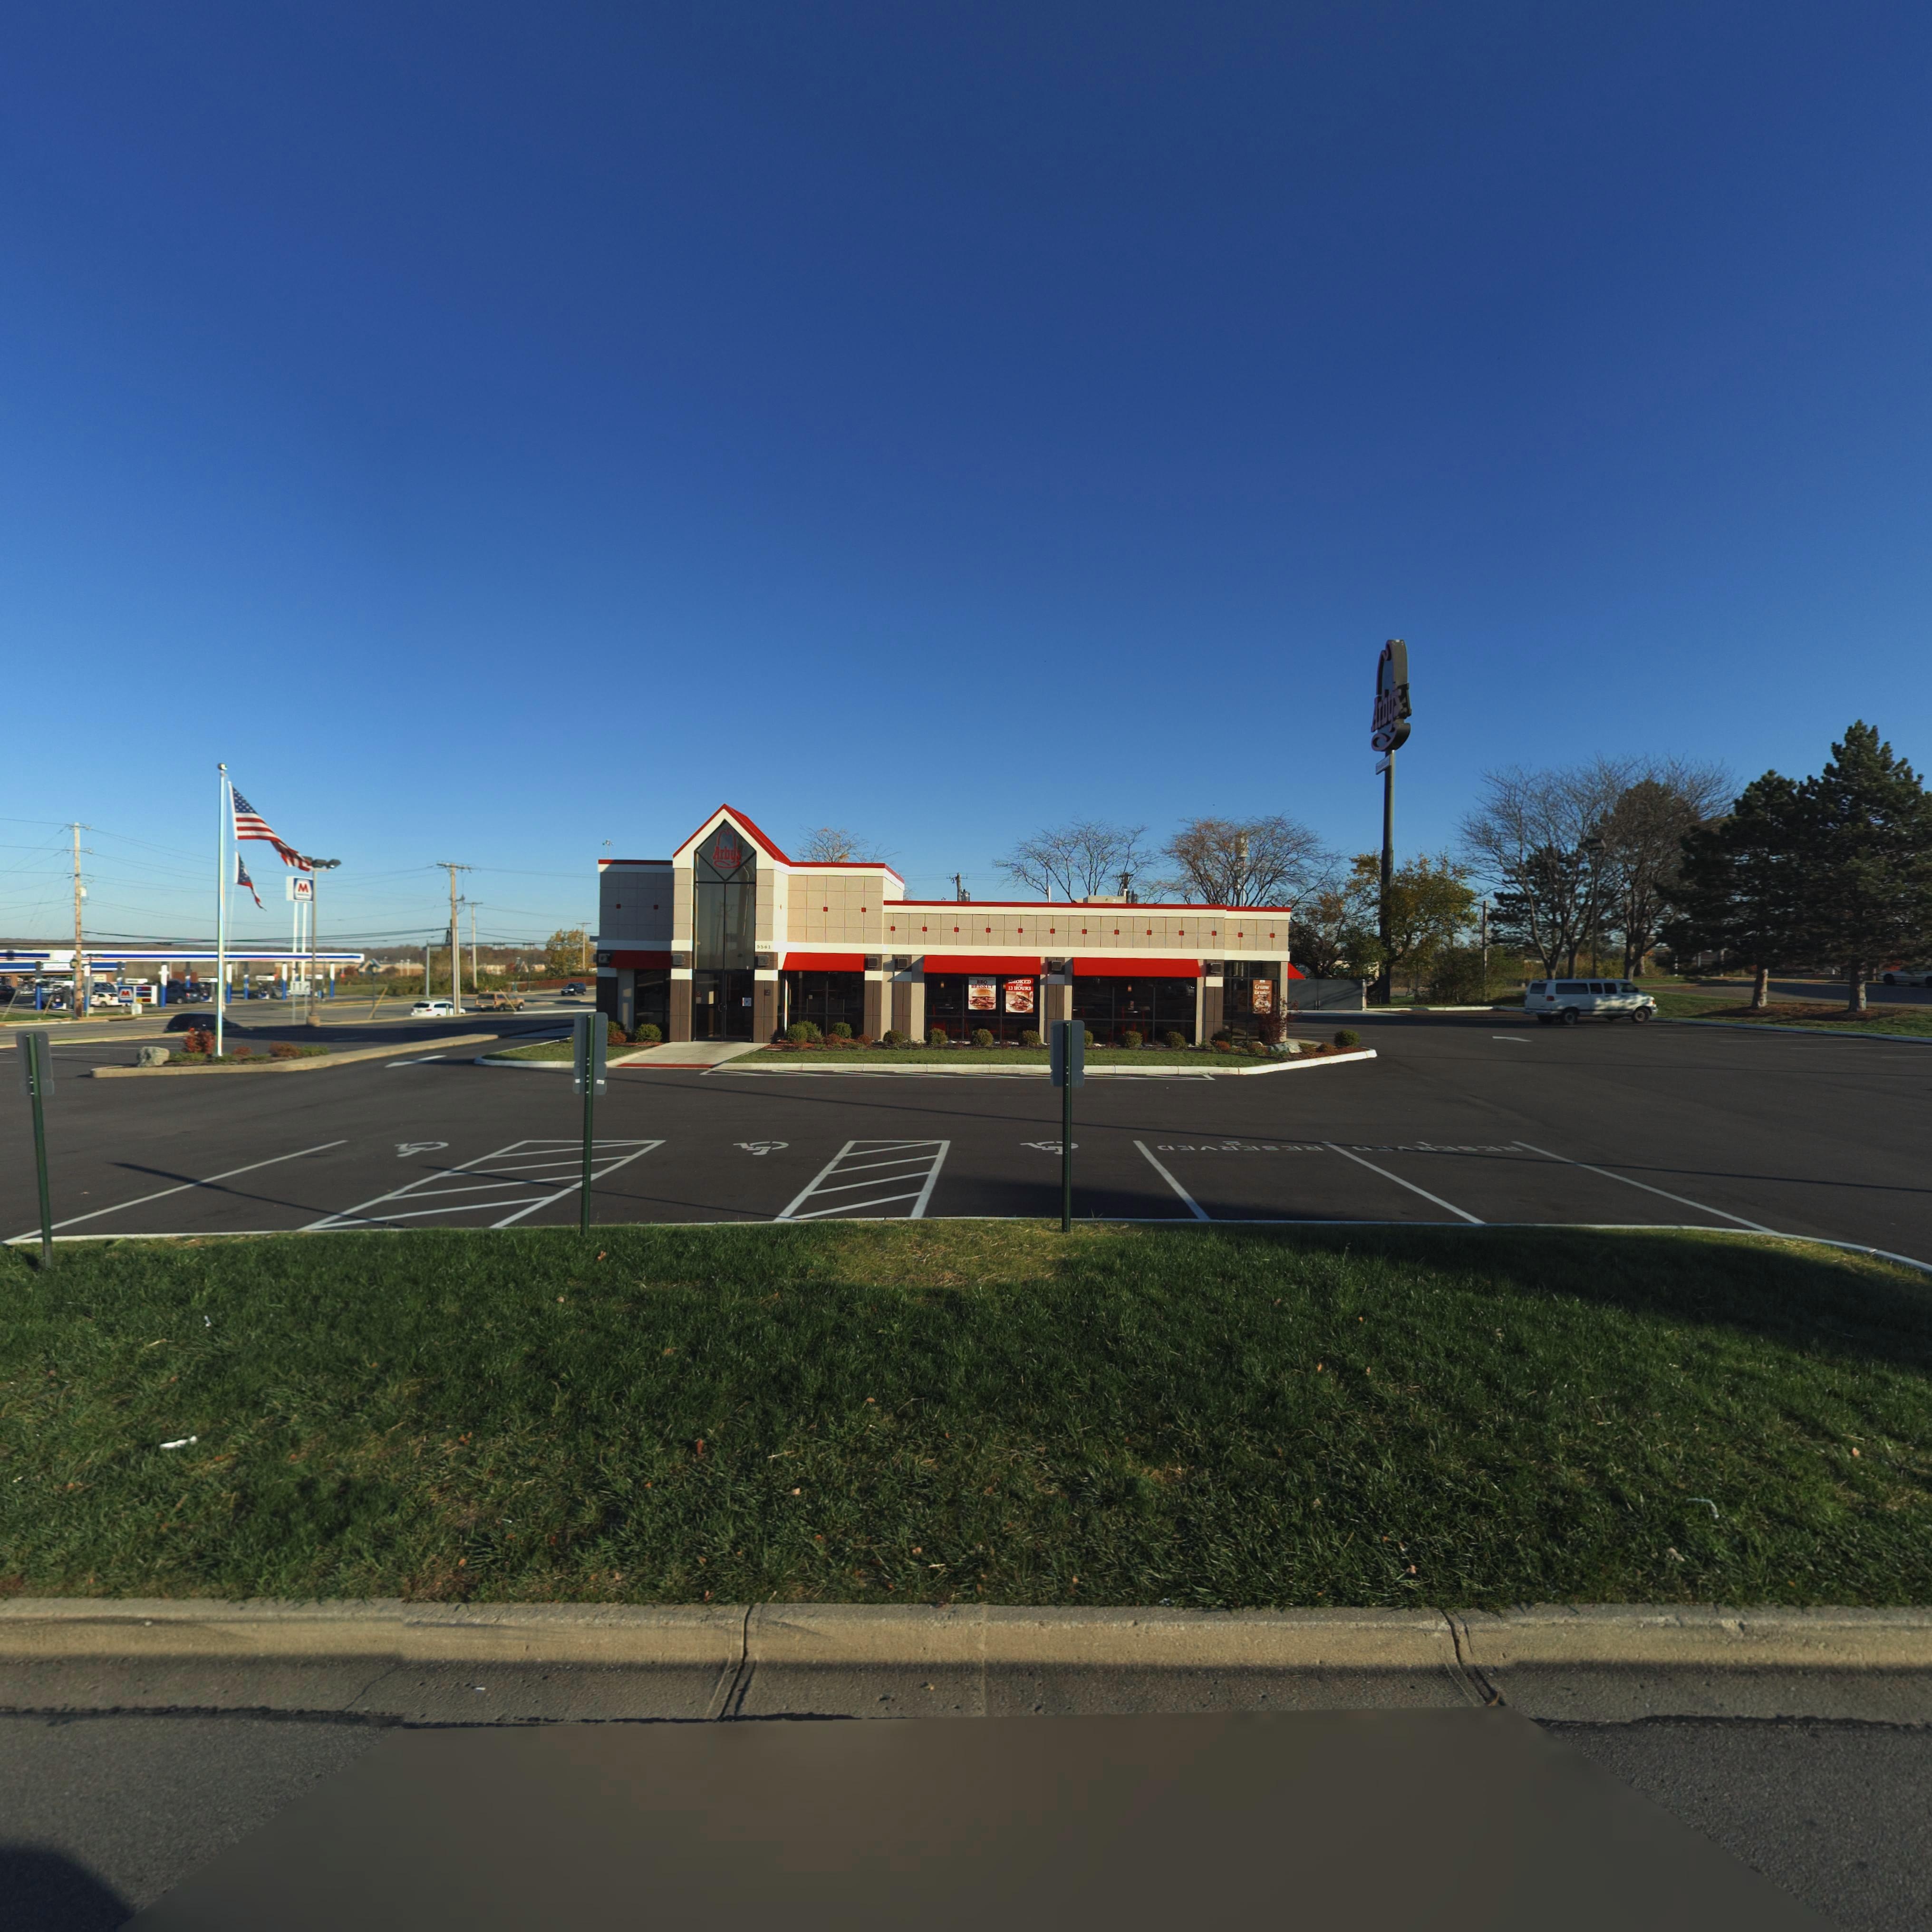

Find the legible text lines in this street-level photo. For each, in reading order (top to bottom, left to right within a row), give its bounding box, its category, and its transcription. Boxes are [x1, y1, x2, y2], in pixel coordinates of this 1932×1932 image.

[1370, 681, 1401, 734] BusinessName: Arby's
[711, 845, 742, 864] BusinessName: Arby's
[756, 944, 771, 950] StreetNumber: 5561